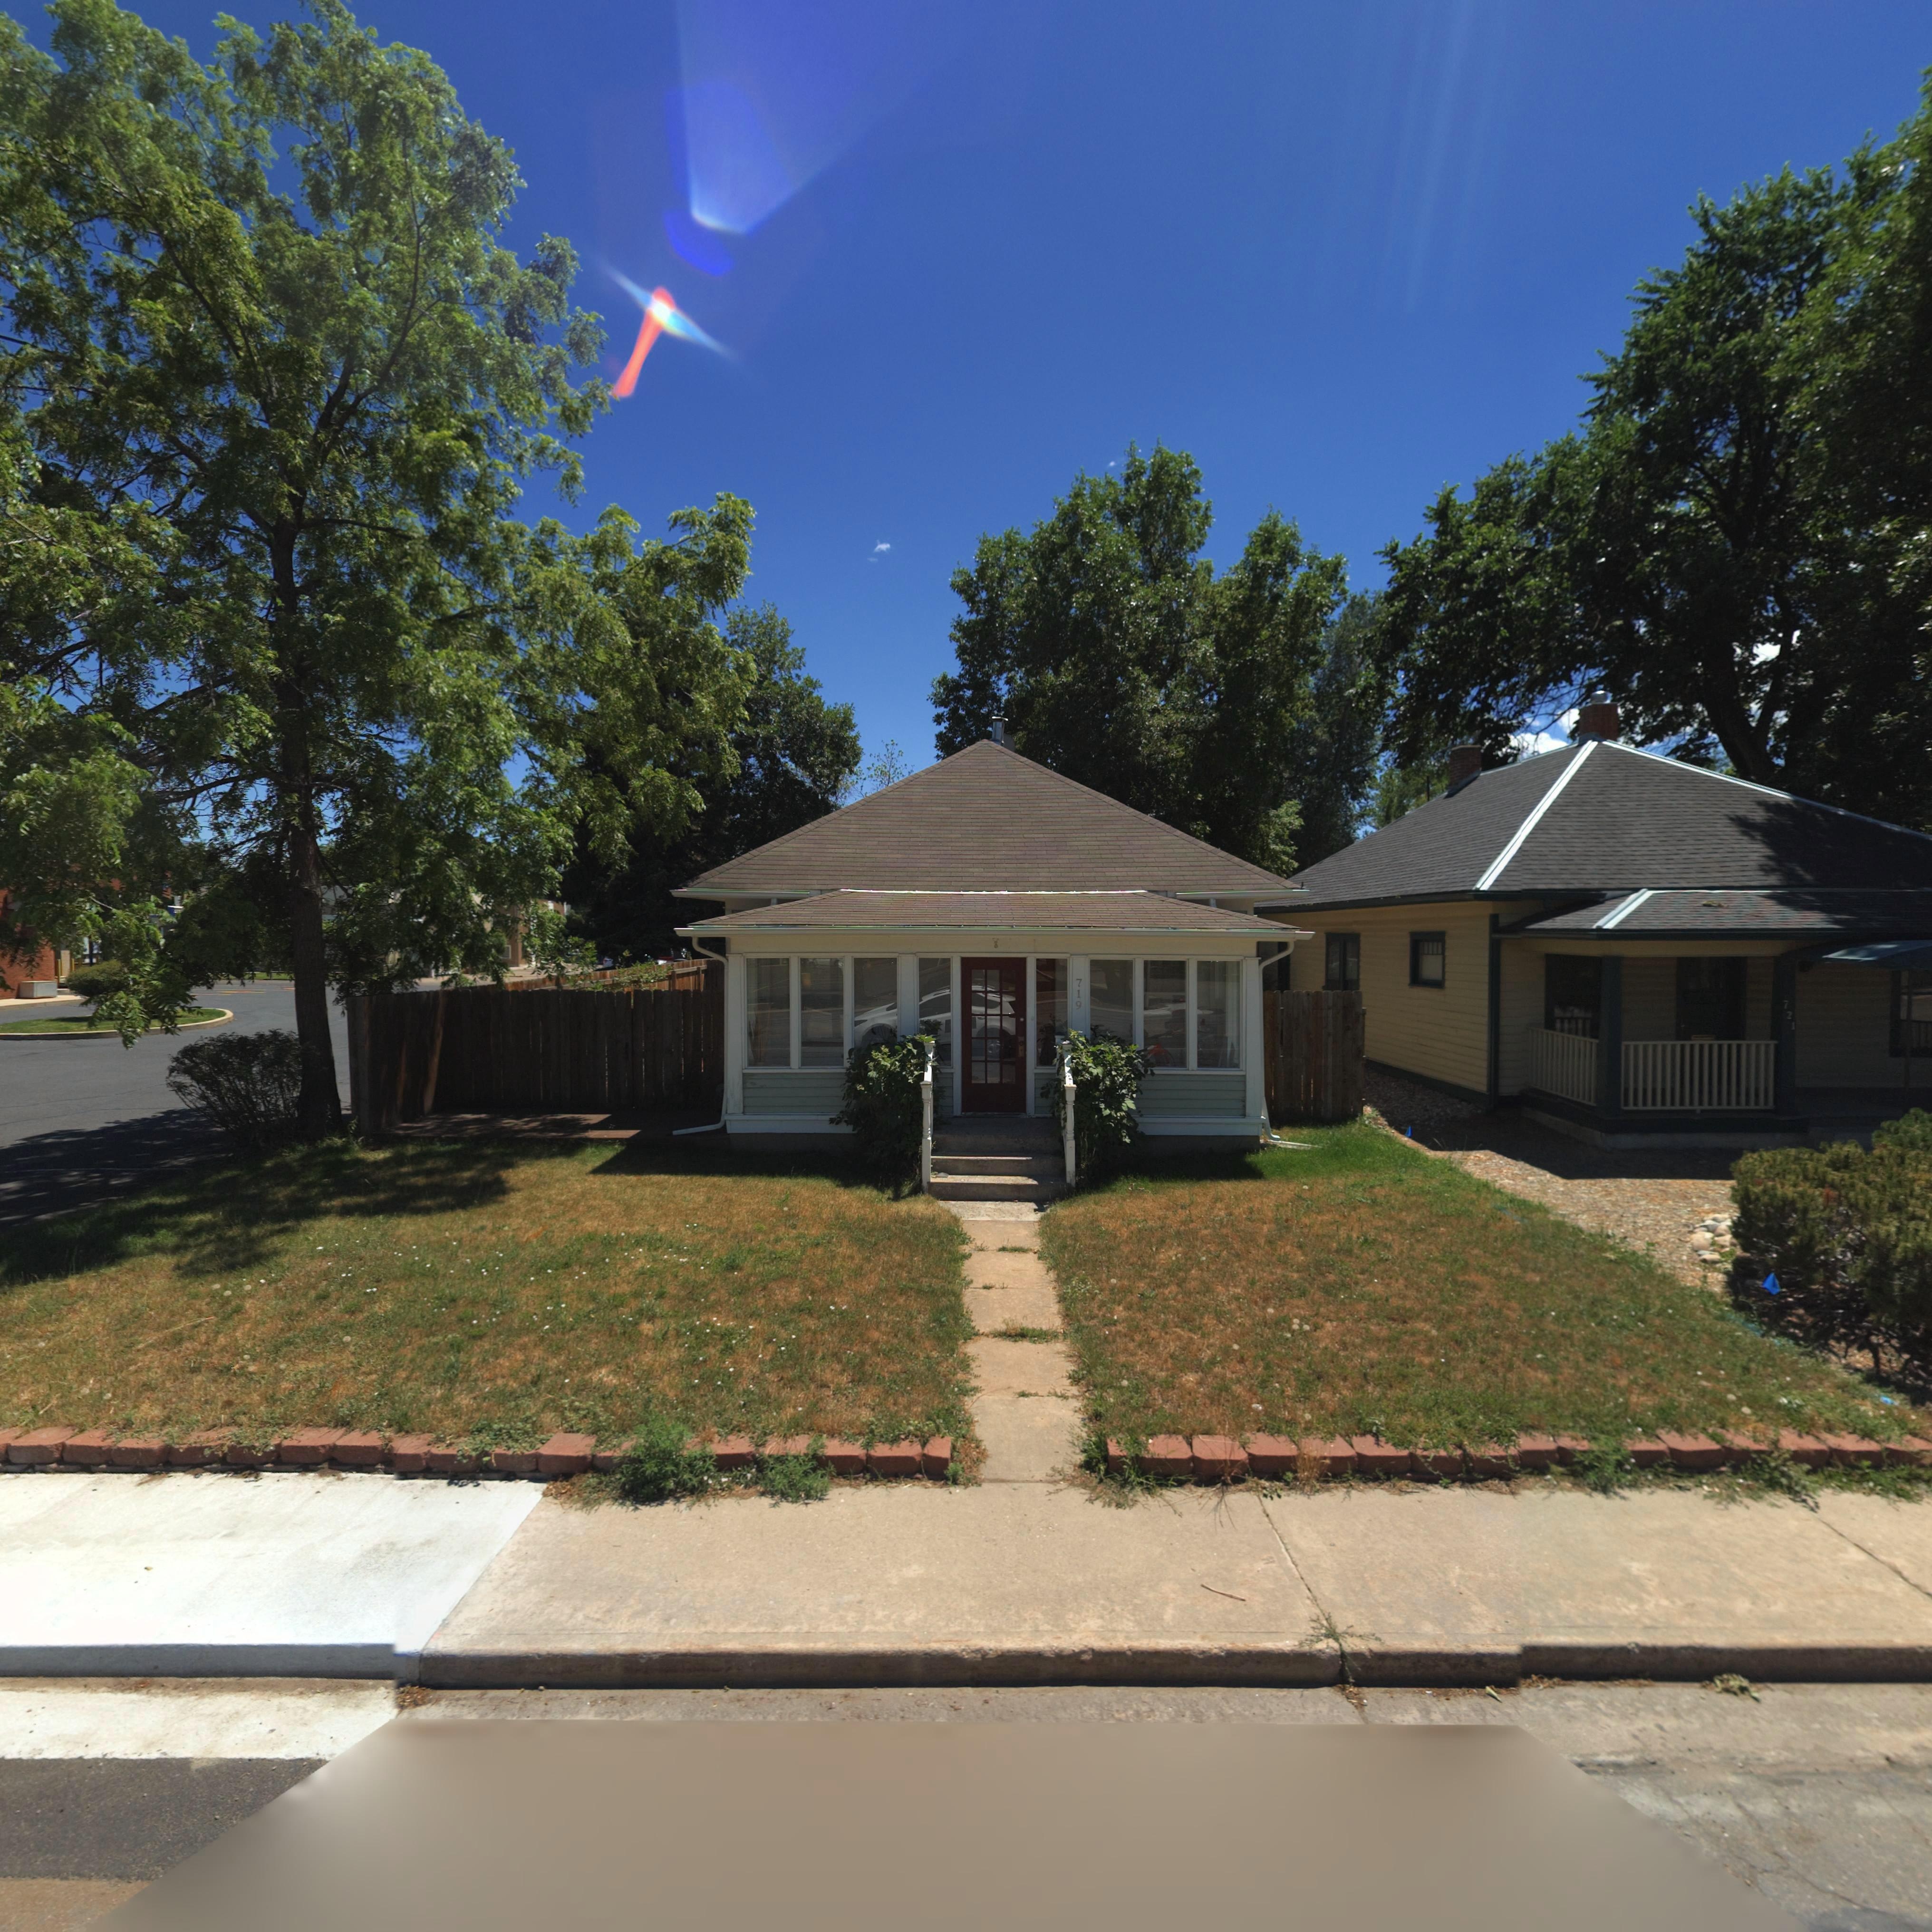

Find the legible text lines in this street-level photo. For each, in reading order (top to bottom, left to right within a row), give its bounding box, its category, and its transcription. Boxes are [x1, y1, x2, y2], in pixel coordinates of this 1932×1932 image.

[1075, 977, 1082, 1011] StreetNumber: 719
[1782, 999, 1796, 1030] StreetNumber: 721